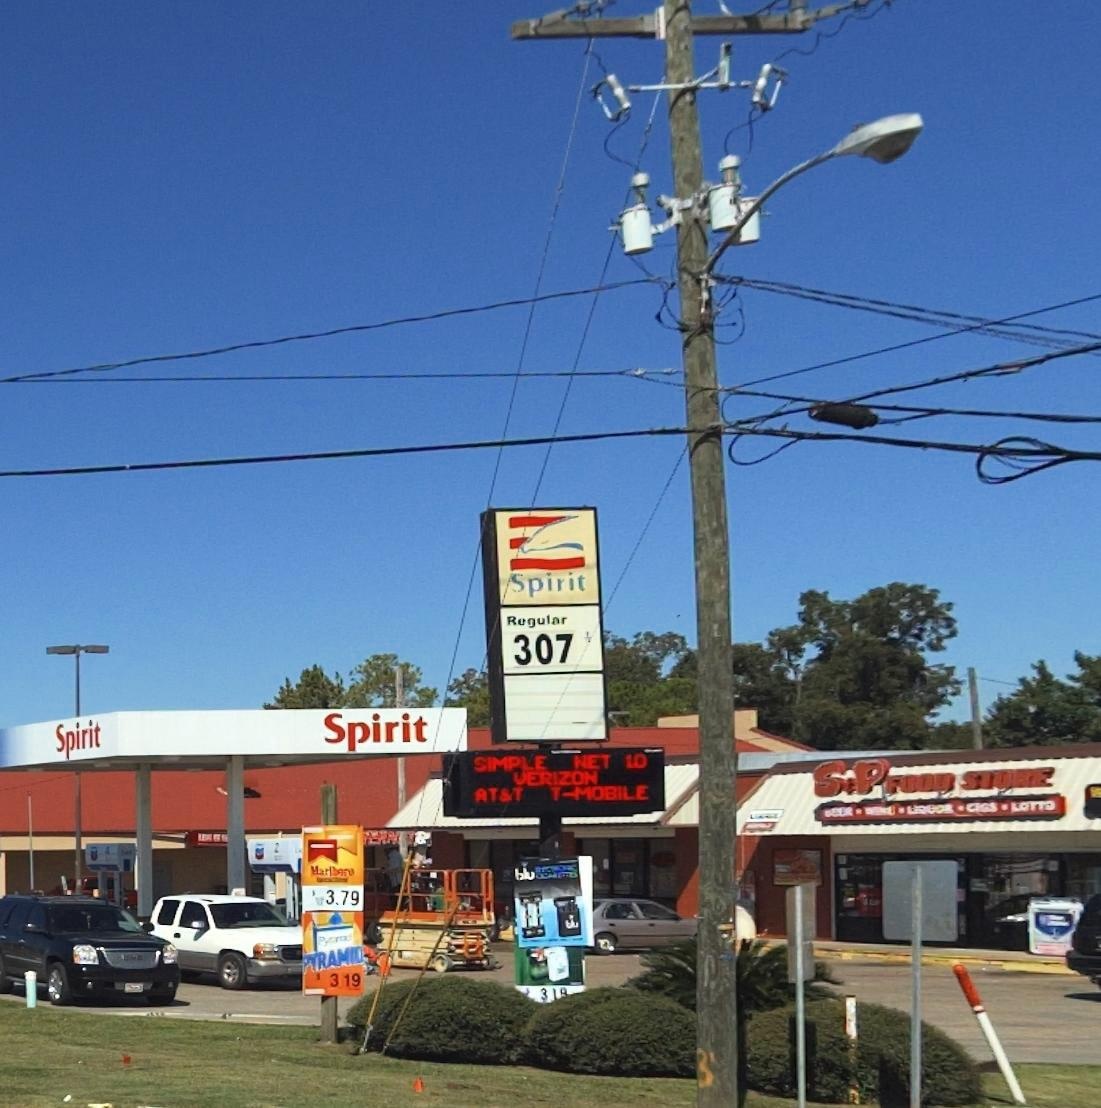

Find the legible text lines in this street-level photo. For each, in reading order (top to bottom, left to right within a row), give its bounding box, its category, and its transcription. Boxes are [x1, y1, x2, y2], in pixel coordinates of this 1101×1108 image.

[509, 571, 587, 599] BusinessName: Spirit
[506, 613, 569, 629] None: Regular
[513, 632, 574, 666] None: 307
[55, 719, 102, 760] BusinessName: Spirit
[320, 712, 430, 754] BusinessName: Spirit
[472, 752, 649, 774] None: SIMPLE NET 10
[511, 770, 600, 788] None: VERIZON
[812, 757, 1056, 798] BusinessName: SP FOOD STORE
[473, 784, 650, 804] None: AT&T T-MOBILE
[905, 800, 1056, 816] None: LIQUOR - CIGS - LOTTO
[103, 845, 112, 859] None: 4
[272, 841, 281, 854] None: 2
[309, 864, 356, 878] None: Marlboro
[514, 867, 536, 882] None: blu
[325, 888, 360, 907] None: 3.79
[318, 931, 354, 946] None: Pyramid
[303, 945, 364, 974] None: Pyramid
[329, 972, 362, 988] None: 3.19
[540, 985, 569, 1002] None: 3.1*